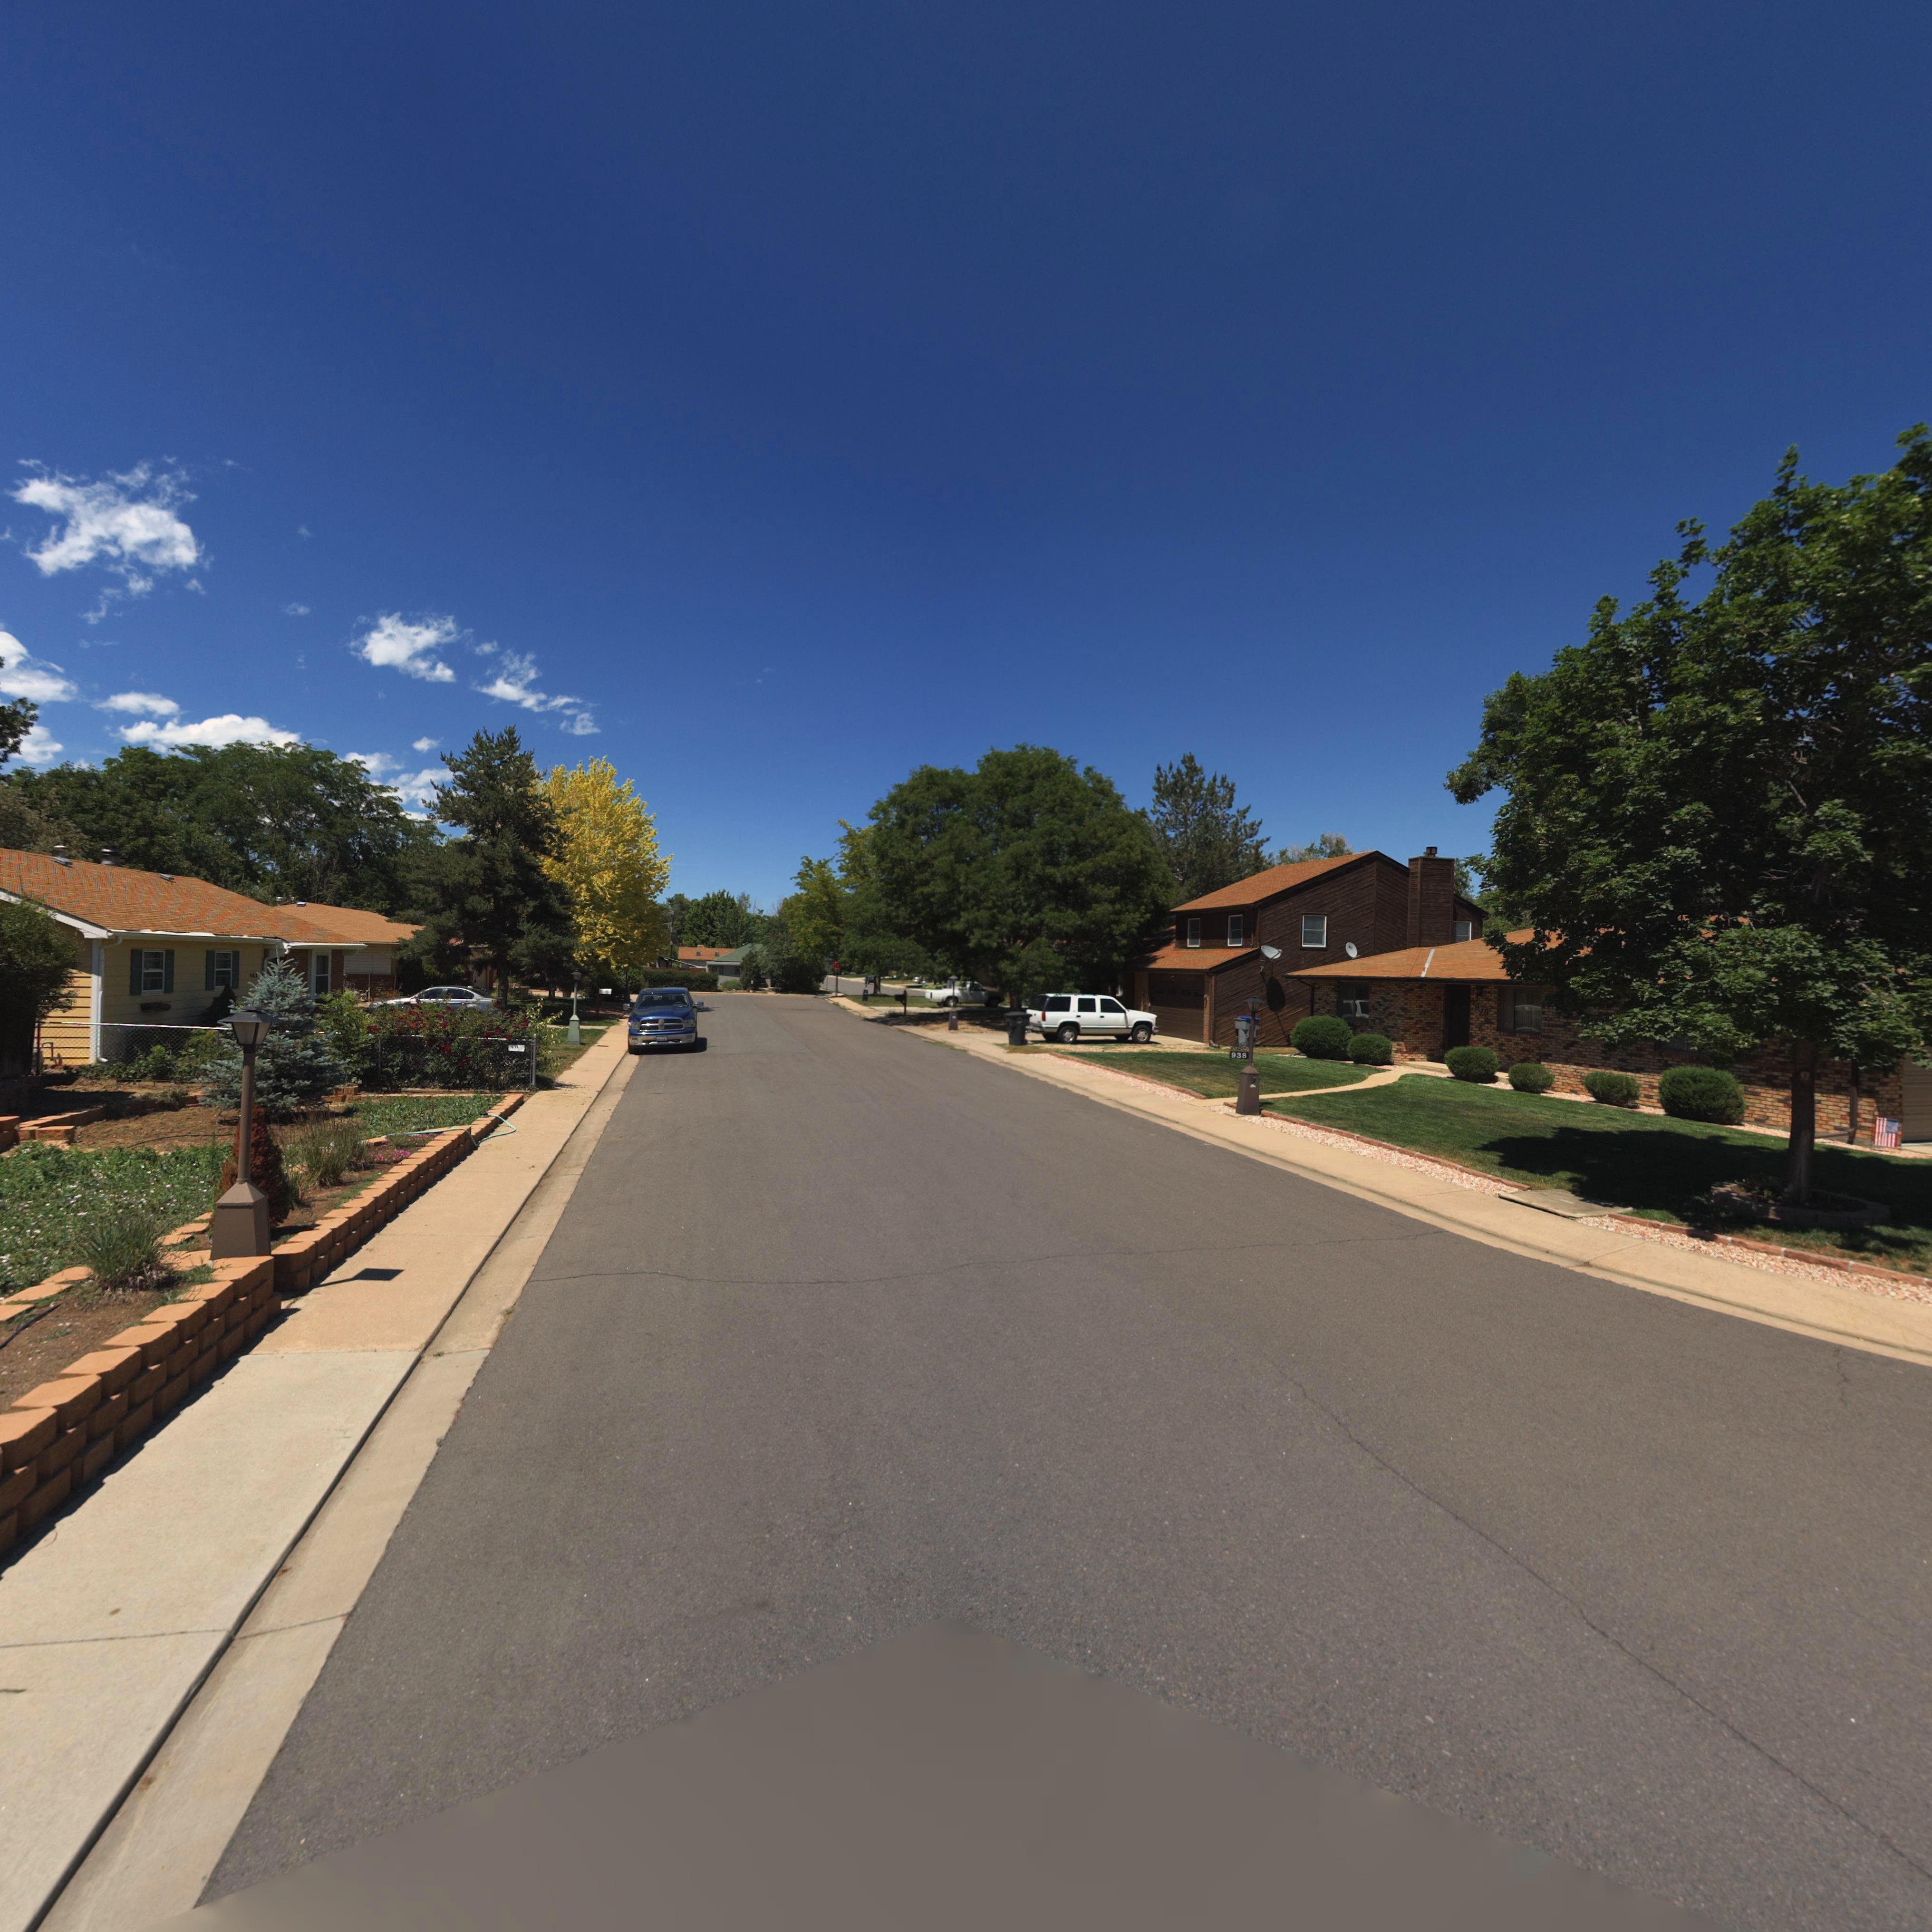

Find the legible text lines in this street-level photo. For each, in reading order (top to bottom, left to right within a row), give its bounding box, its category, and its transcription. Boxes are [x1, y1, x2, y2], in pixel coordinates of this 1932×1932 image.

[1474, 1002, 1489, 1016] StreetNumber: 938
[1230, 1052, 1247, 1059] StreetNumber: 938